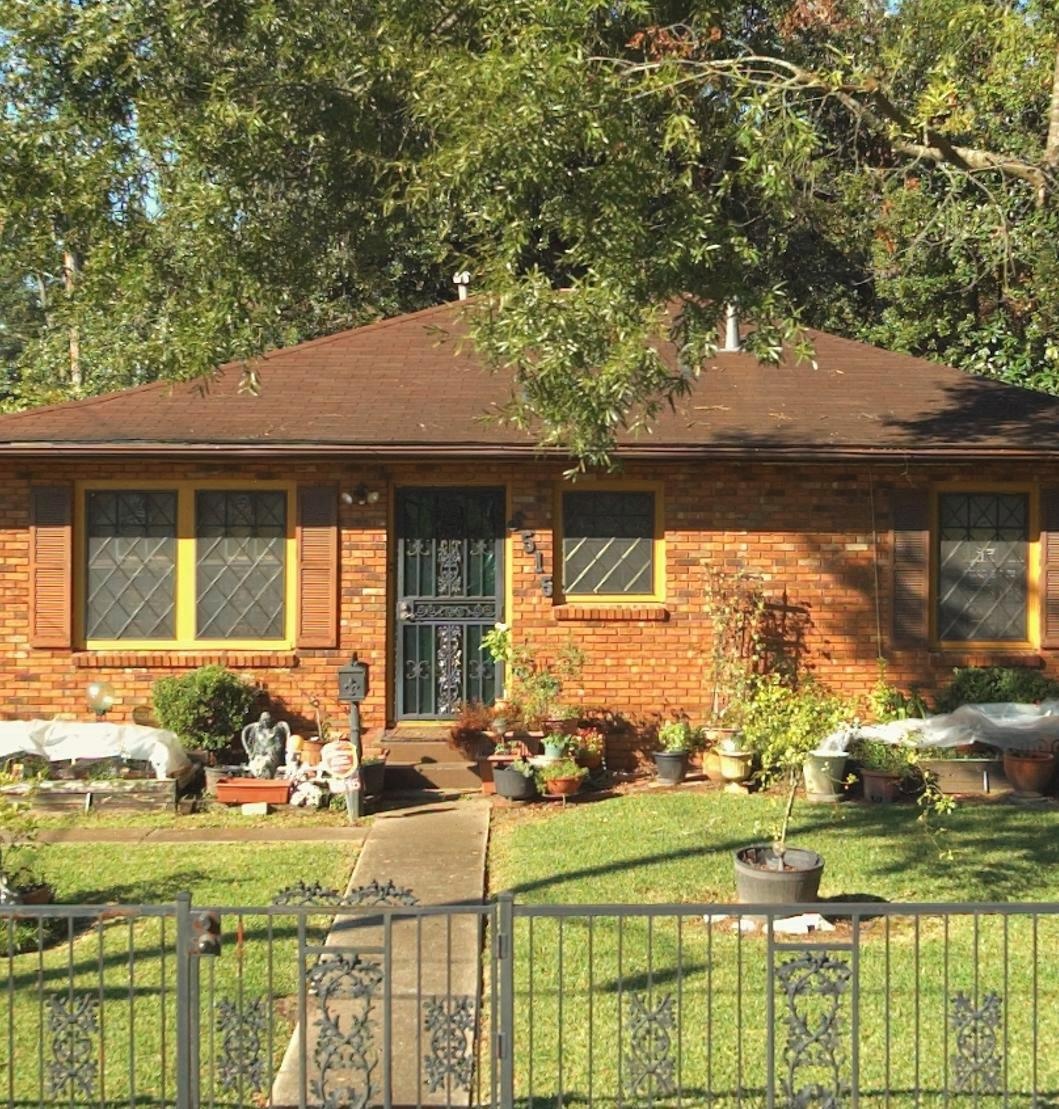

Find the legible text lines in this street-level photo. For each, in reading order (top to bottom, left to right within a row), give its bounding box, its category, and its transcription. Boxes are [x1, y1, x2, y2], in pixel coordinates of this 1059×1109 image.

[504, 508, 554, 600] StreetNumber: 5515